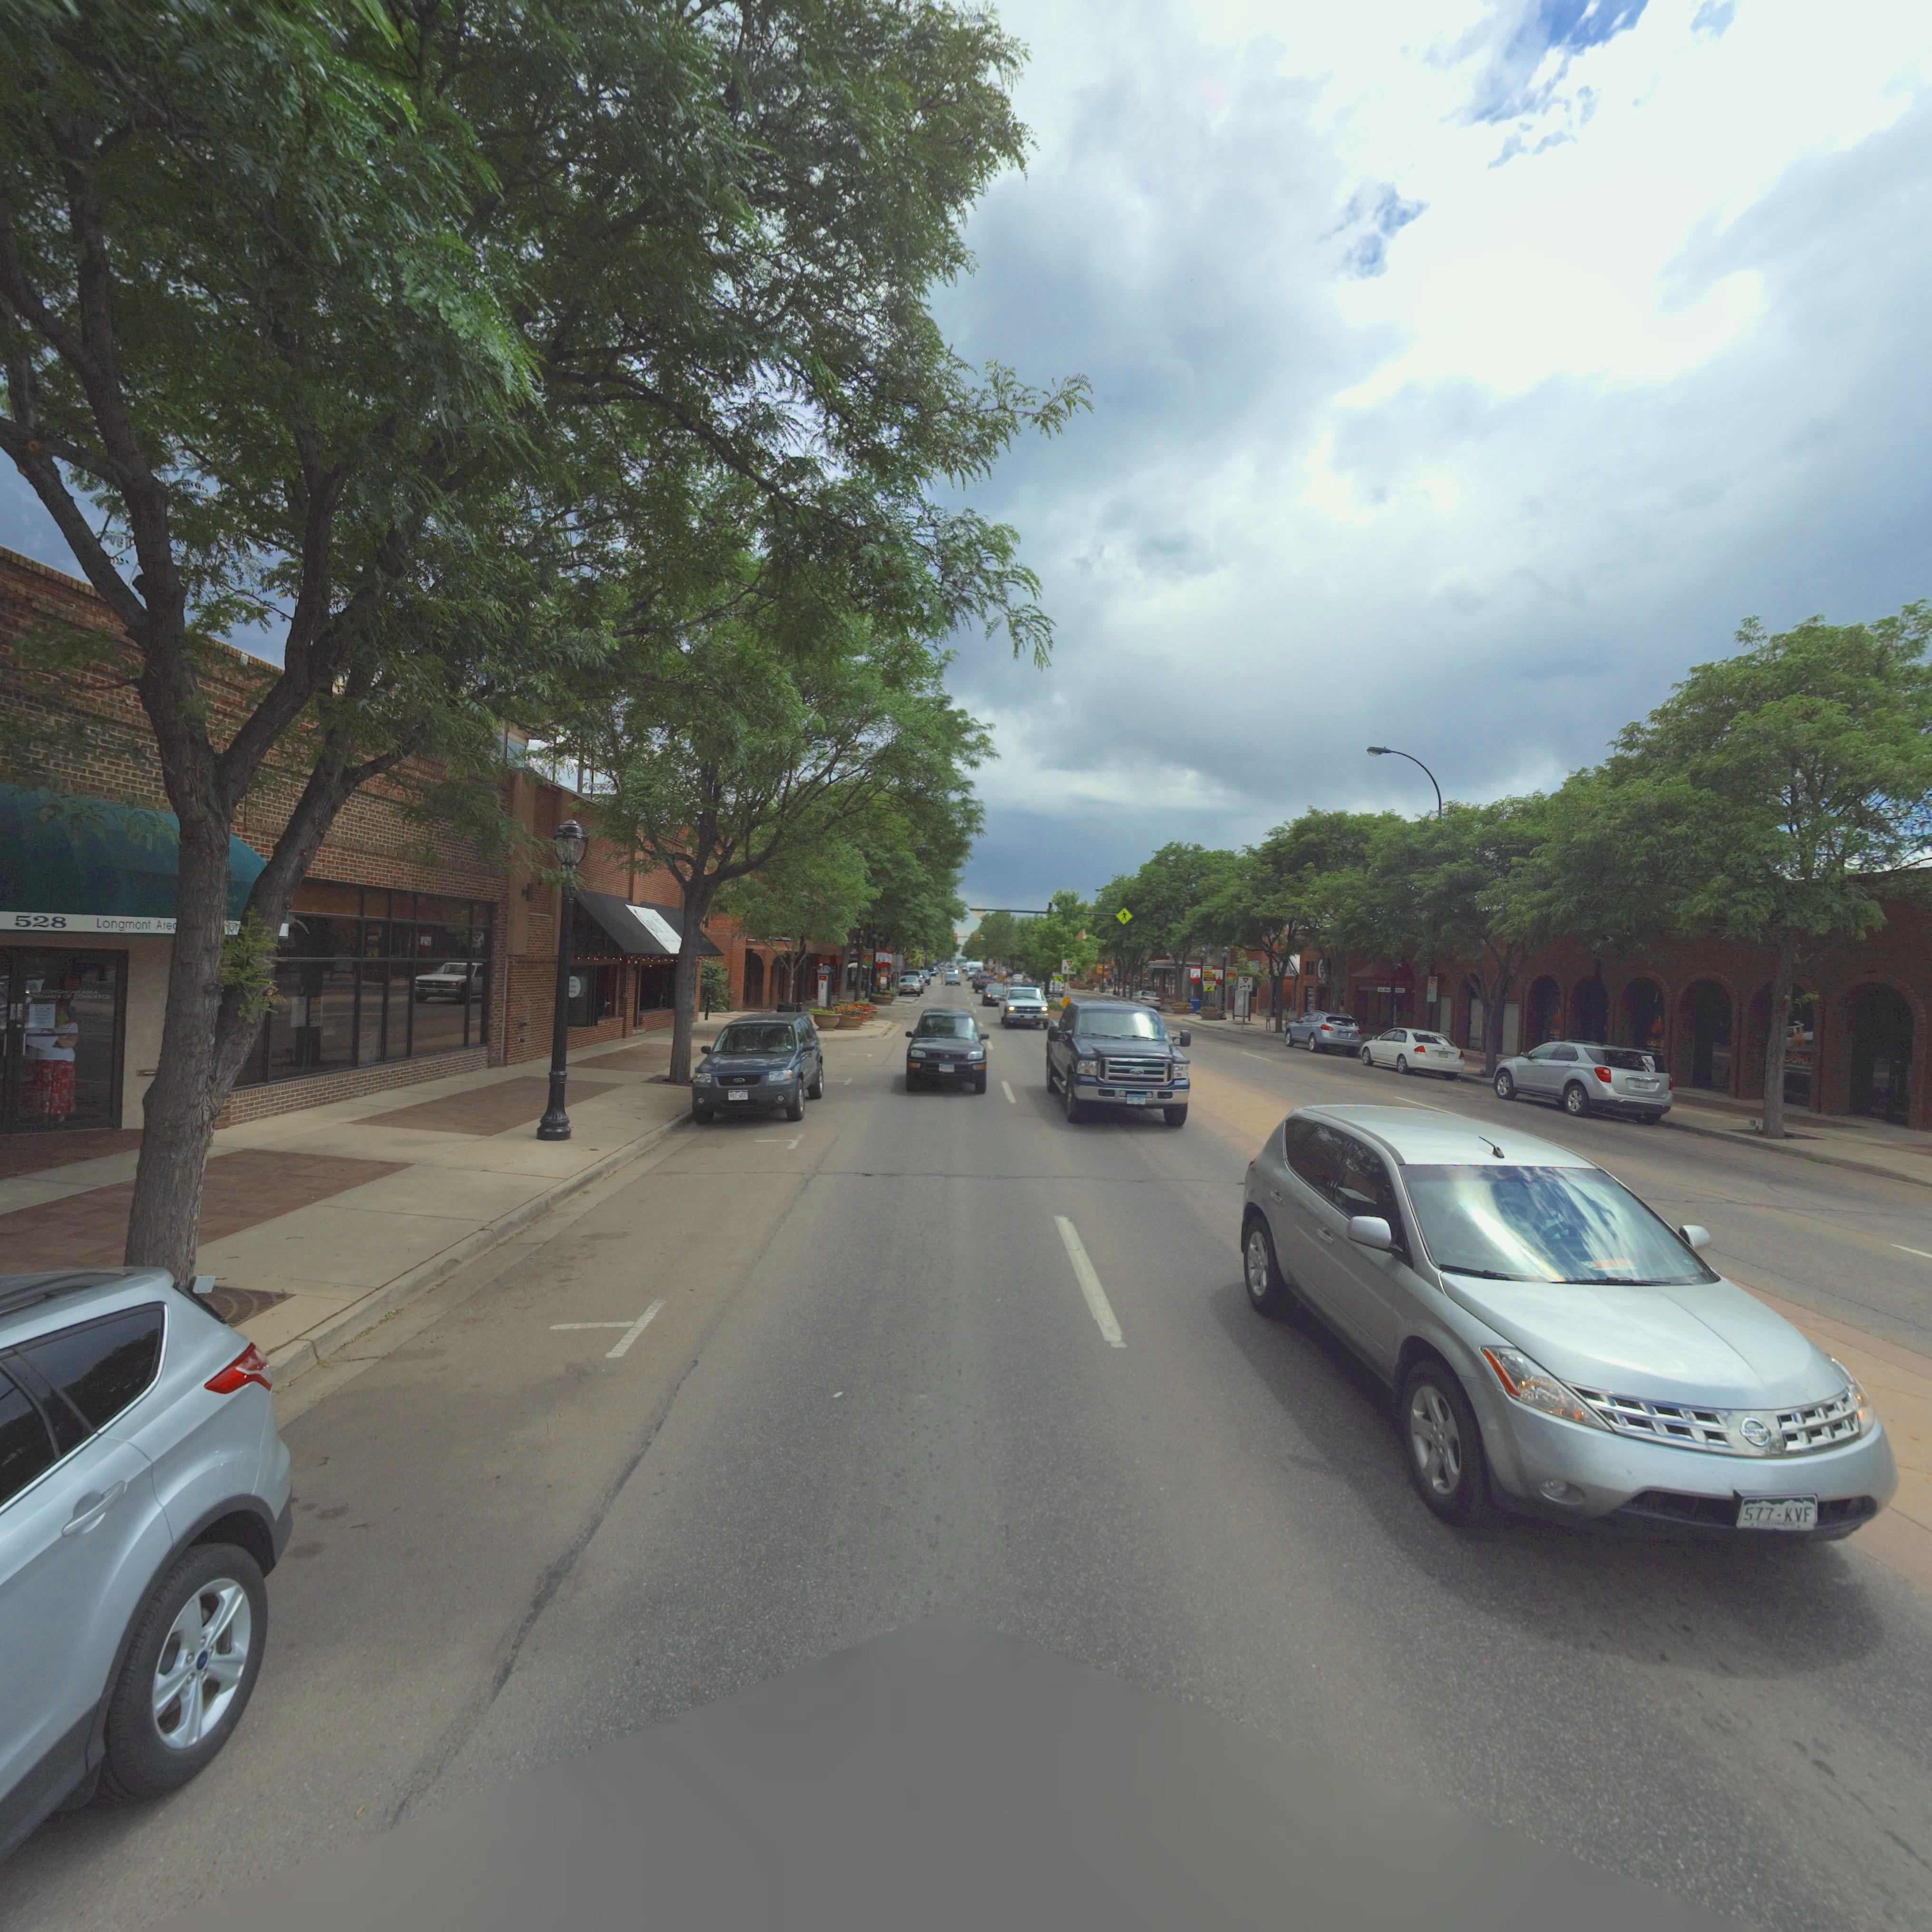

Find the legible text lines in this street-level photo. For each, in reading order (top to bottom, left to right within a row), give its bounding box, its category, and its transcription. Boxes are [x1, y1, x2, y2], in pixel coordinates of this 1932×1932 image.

[13, 914, 68, 929] StreetNumber: 528
[96, 917, 172, 932] BusinessName: Longmont Area
[46, 989, 100, 995] BusinessName: ONGMONT AREA
[62, 994, 111, 999] BusinessName: OF COMMERCE